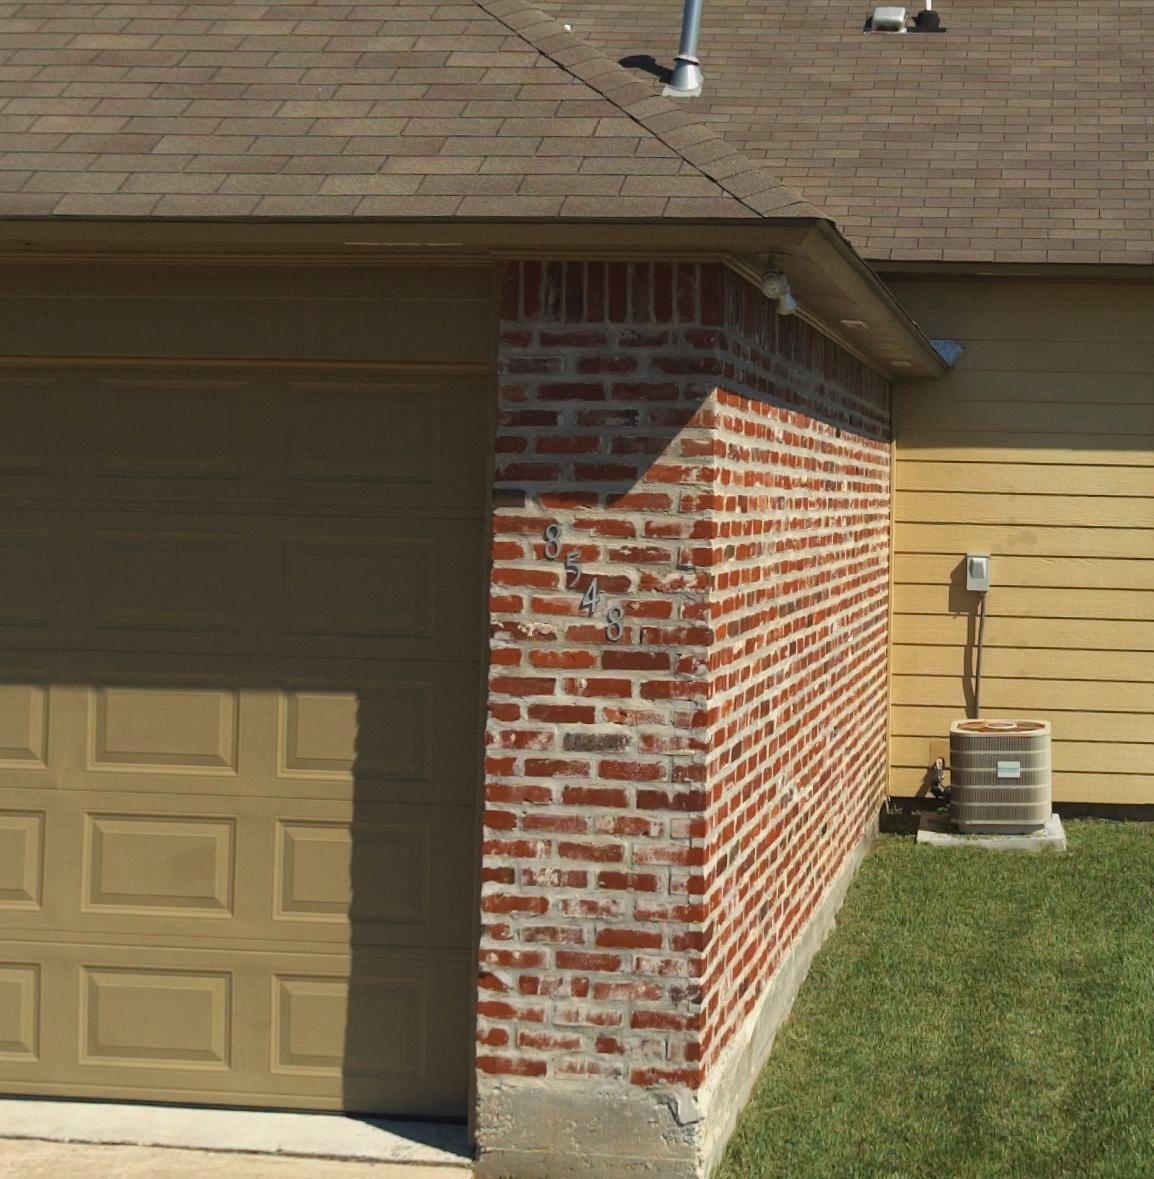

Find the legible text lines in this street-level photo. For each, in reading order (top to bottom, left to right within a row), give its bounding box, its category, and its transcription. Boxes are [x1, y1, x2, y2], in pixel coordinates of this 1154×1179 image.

[539, 521, 627, 645] StreetNumber: 8548